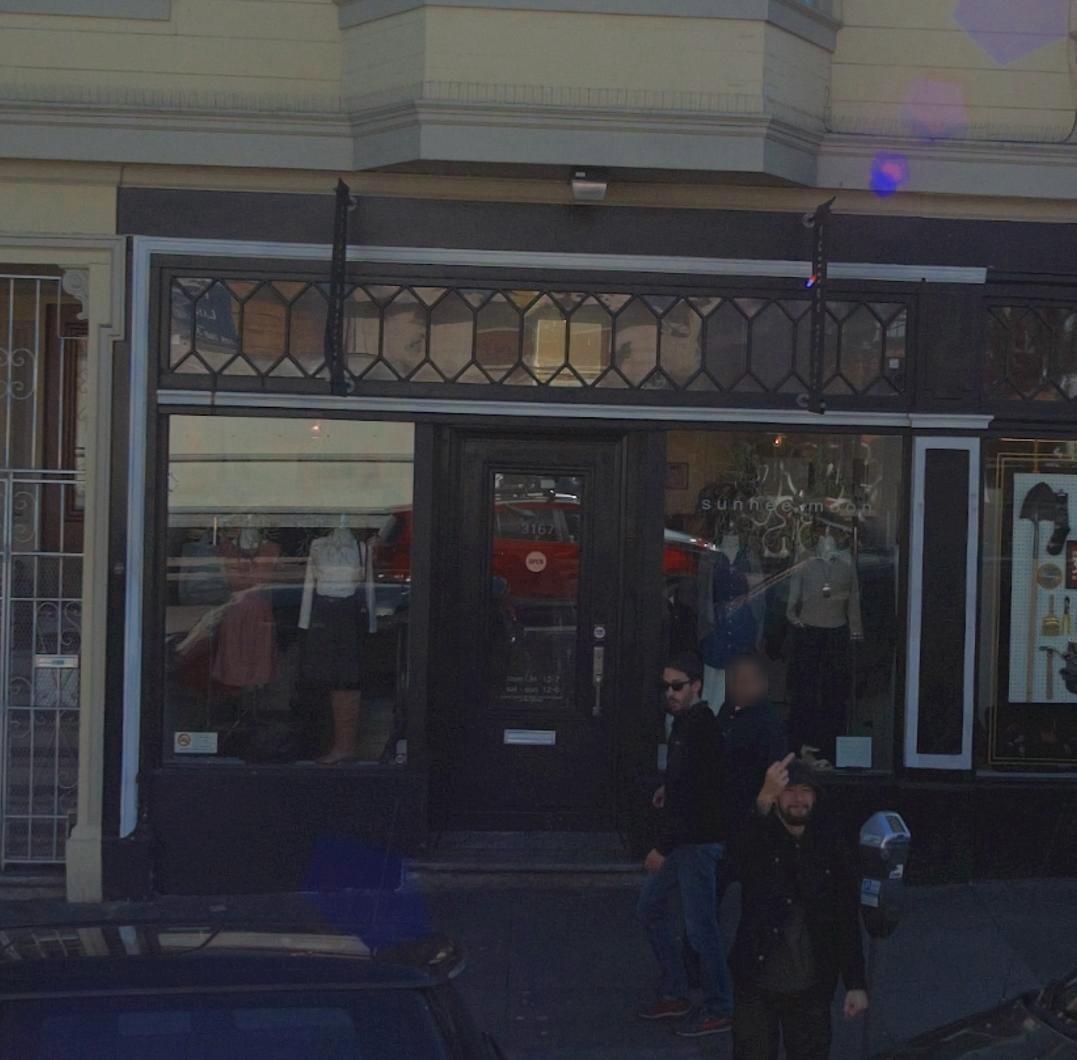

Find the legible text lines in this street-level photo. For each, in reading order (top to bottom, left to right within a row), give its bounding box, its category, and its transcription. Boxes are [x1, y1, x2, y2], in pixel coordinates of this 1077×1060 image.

[700, 496, 872, 514] BusinessName: sunhee moon
[520, 521, 557, 535] StreetNumber: 3167